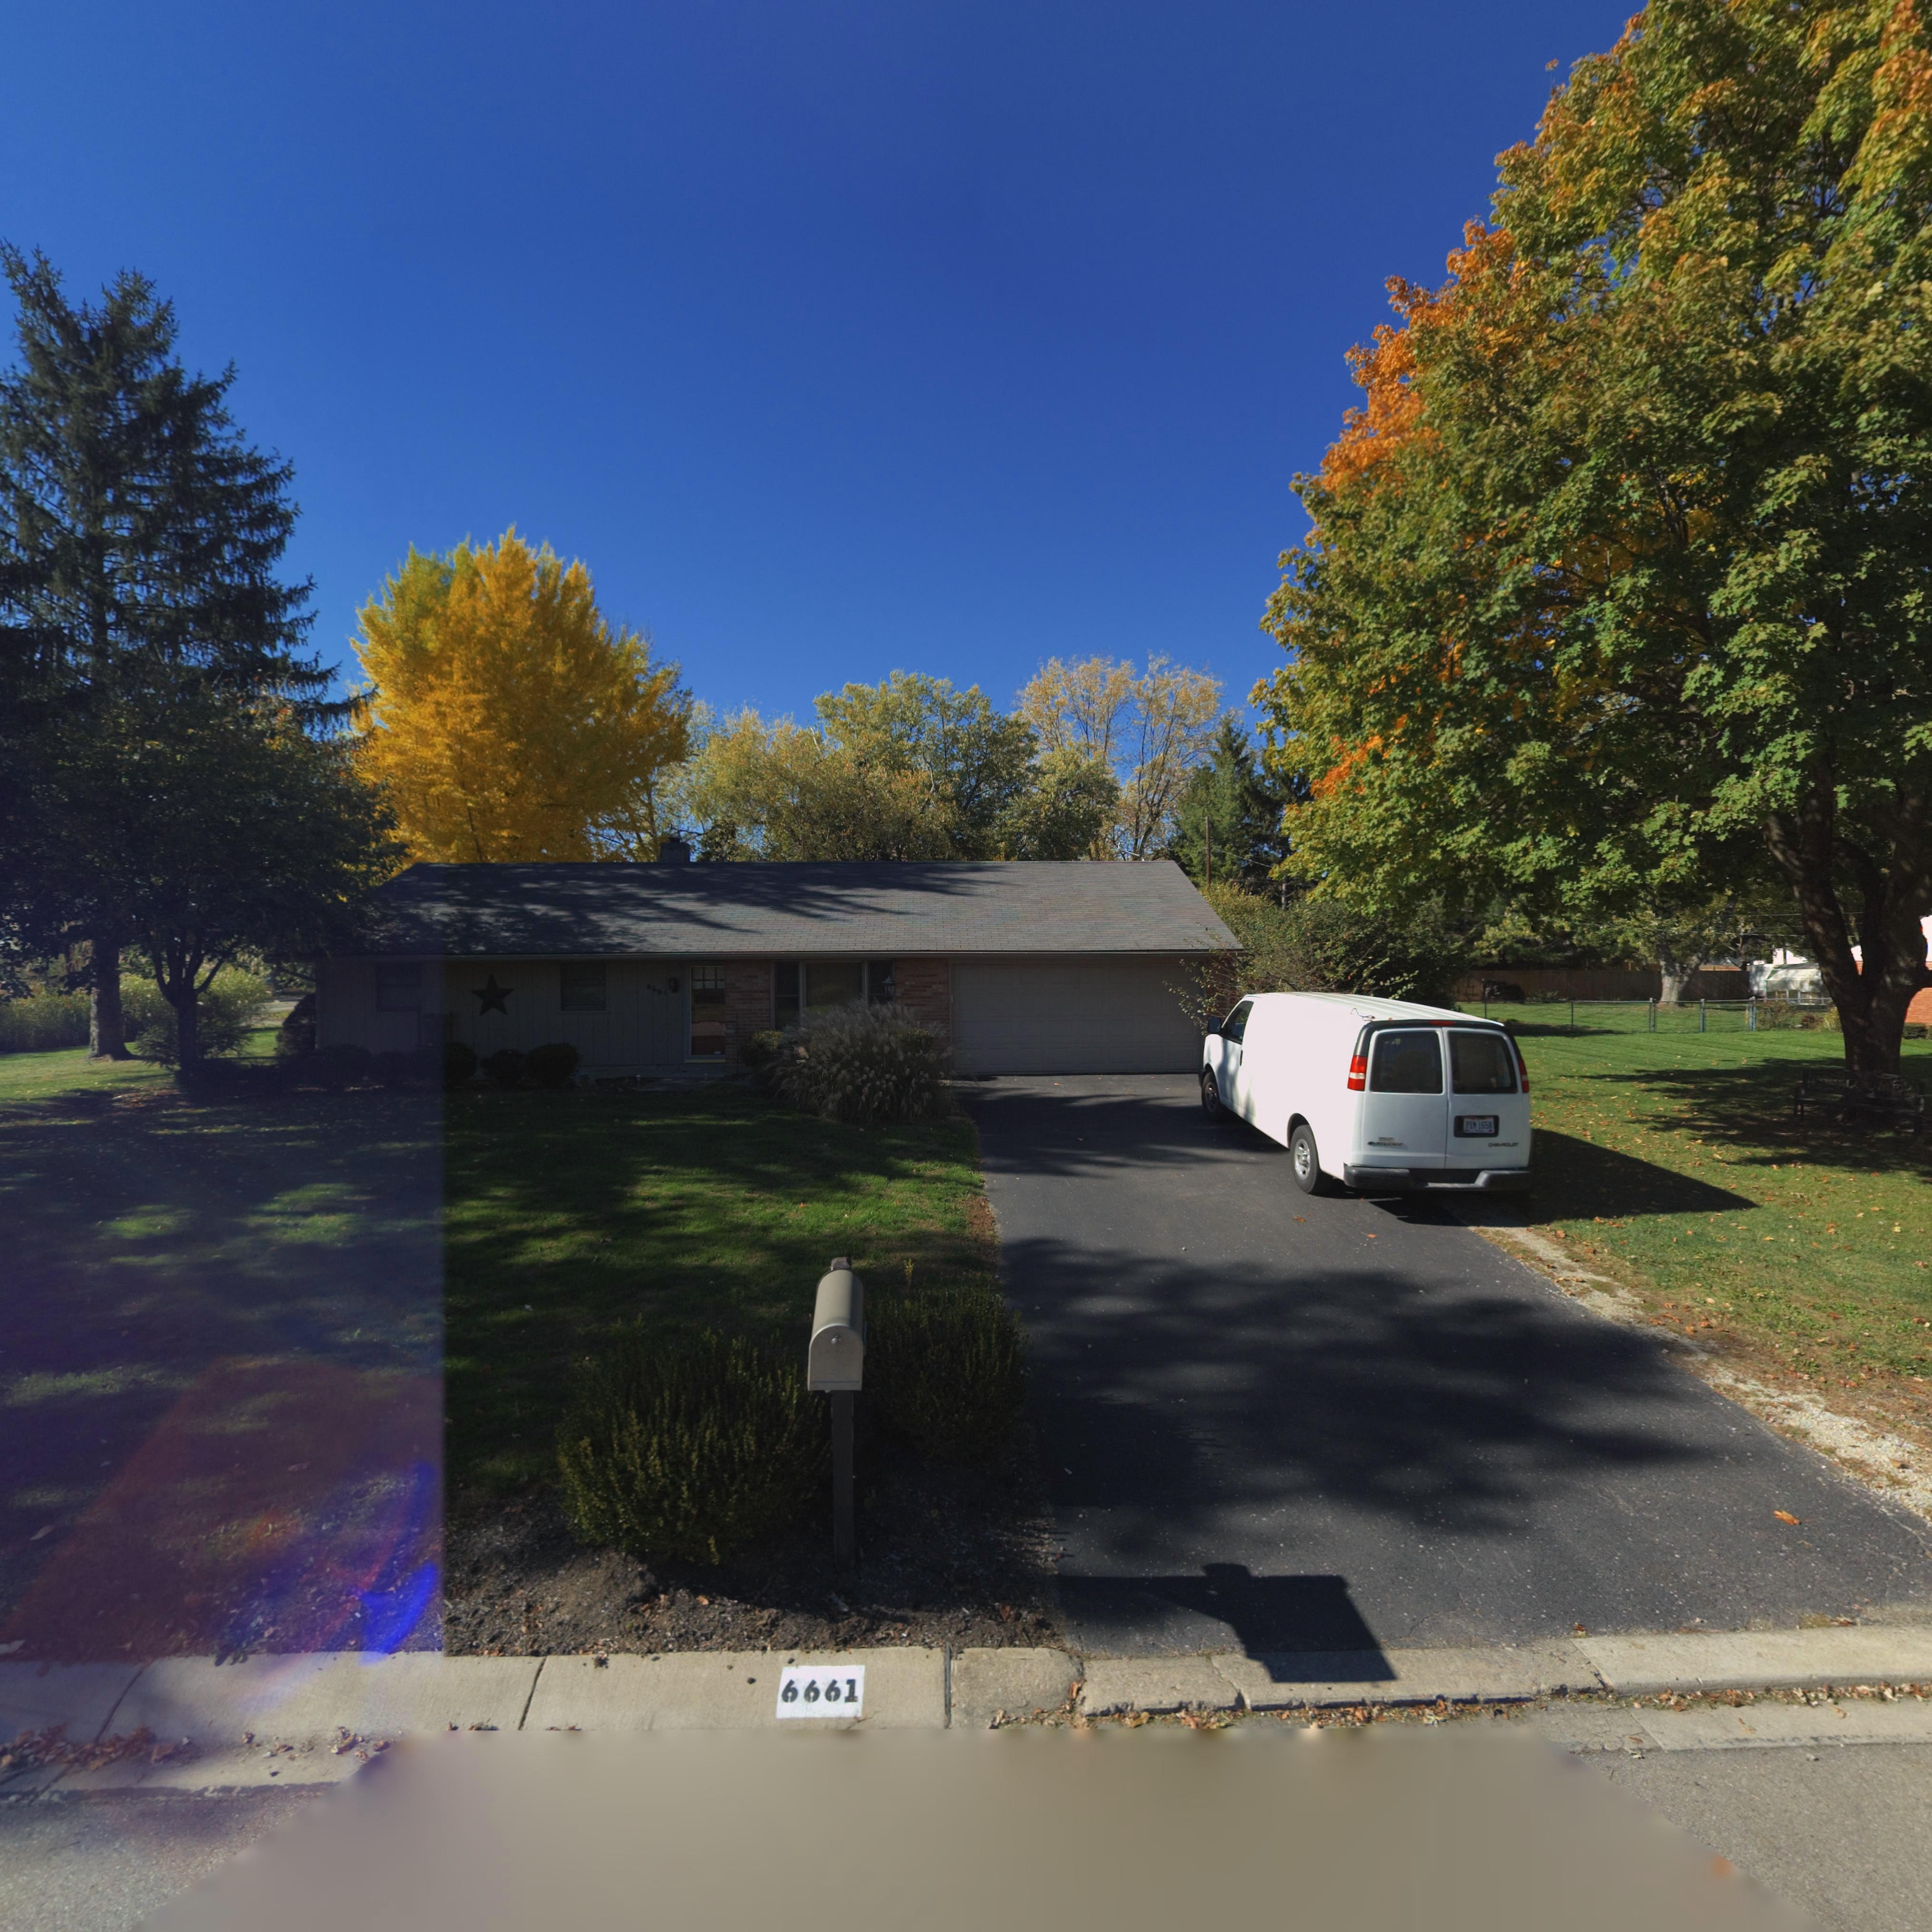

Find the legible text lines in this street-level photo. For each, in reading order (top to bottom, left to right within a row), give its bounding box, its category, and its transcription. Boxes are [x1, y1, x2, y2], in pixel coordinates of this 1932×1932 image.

[646, 983, 667, 996] StreetNumber: 6661
[1465, 1120, 1493, 1130] None: PIM*1658
[1487, 1142, 1520, 1148] None: CHEVROLET
[781, 1678, 859, 1703] StreetNumber: 6661